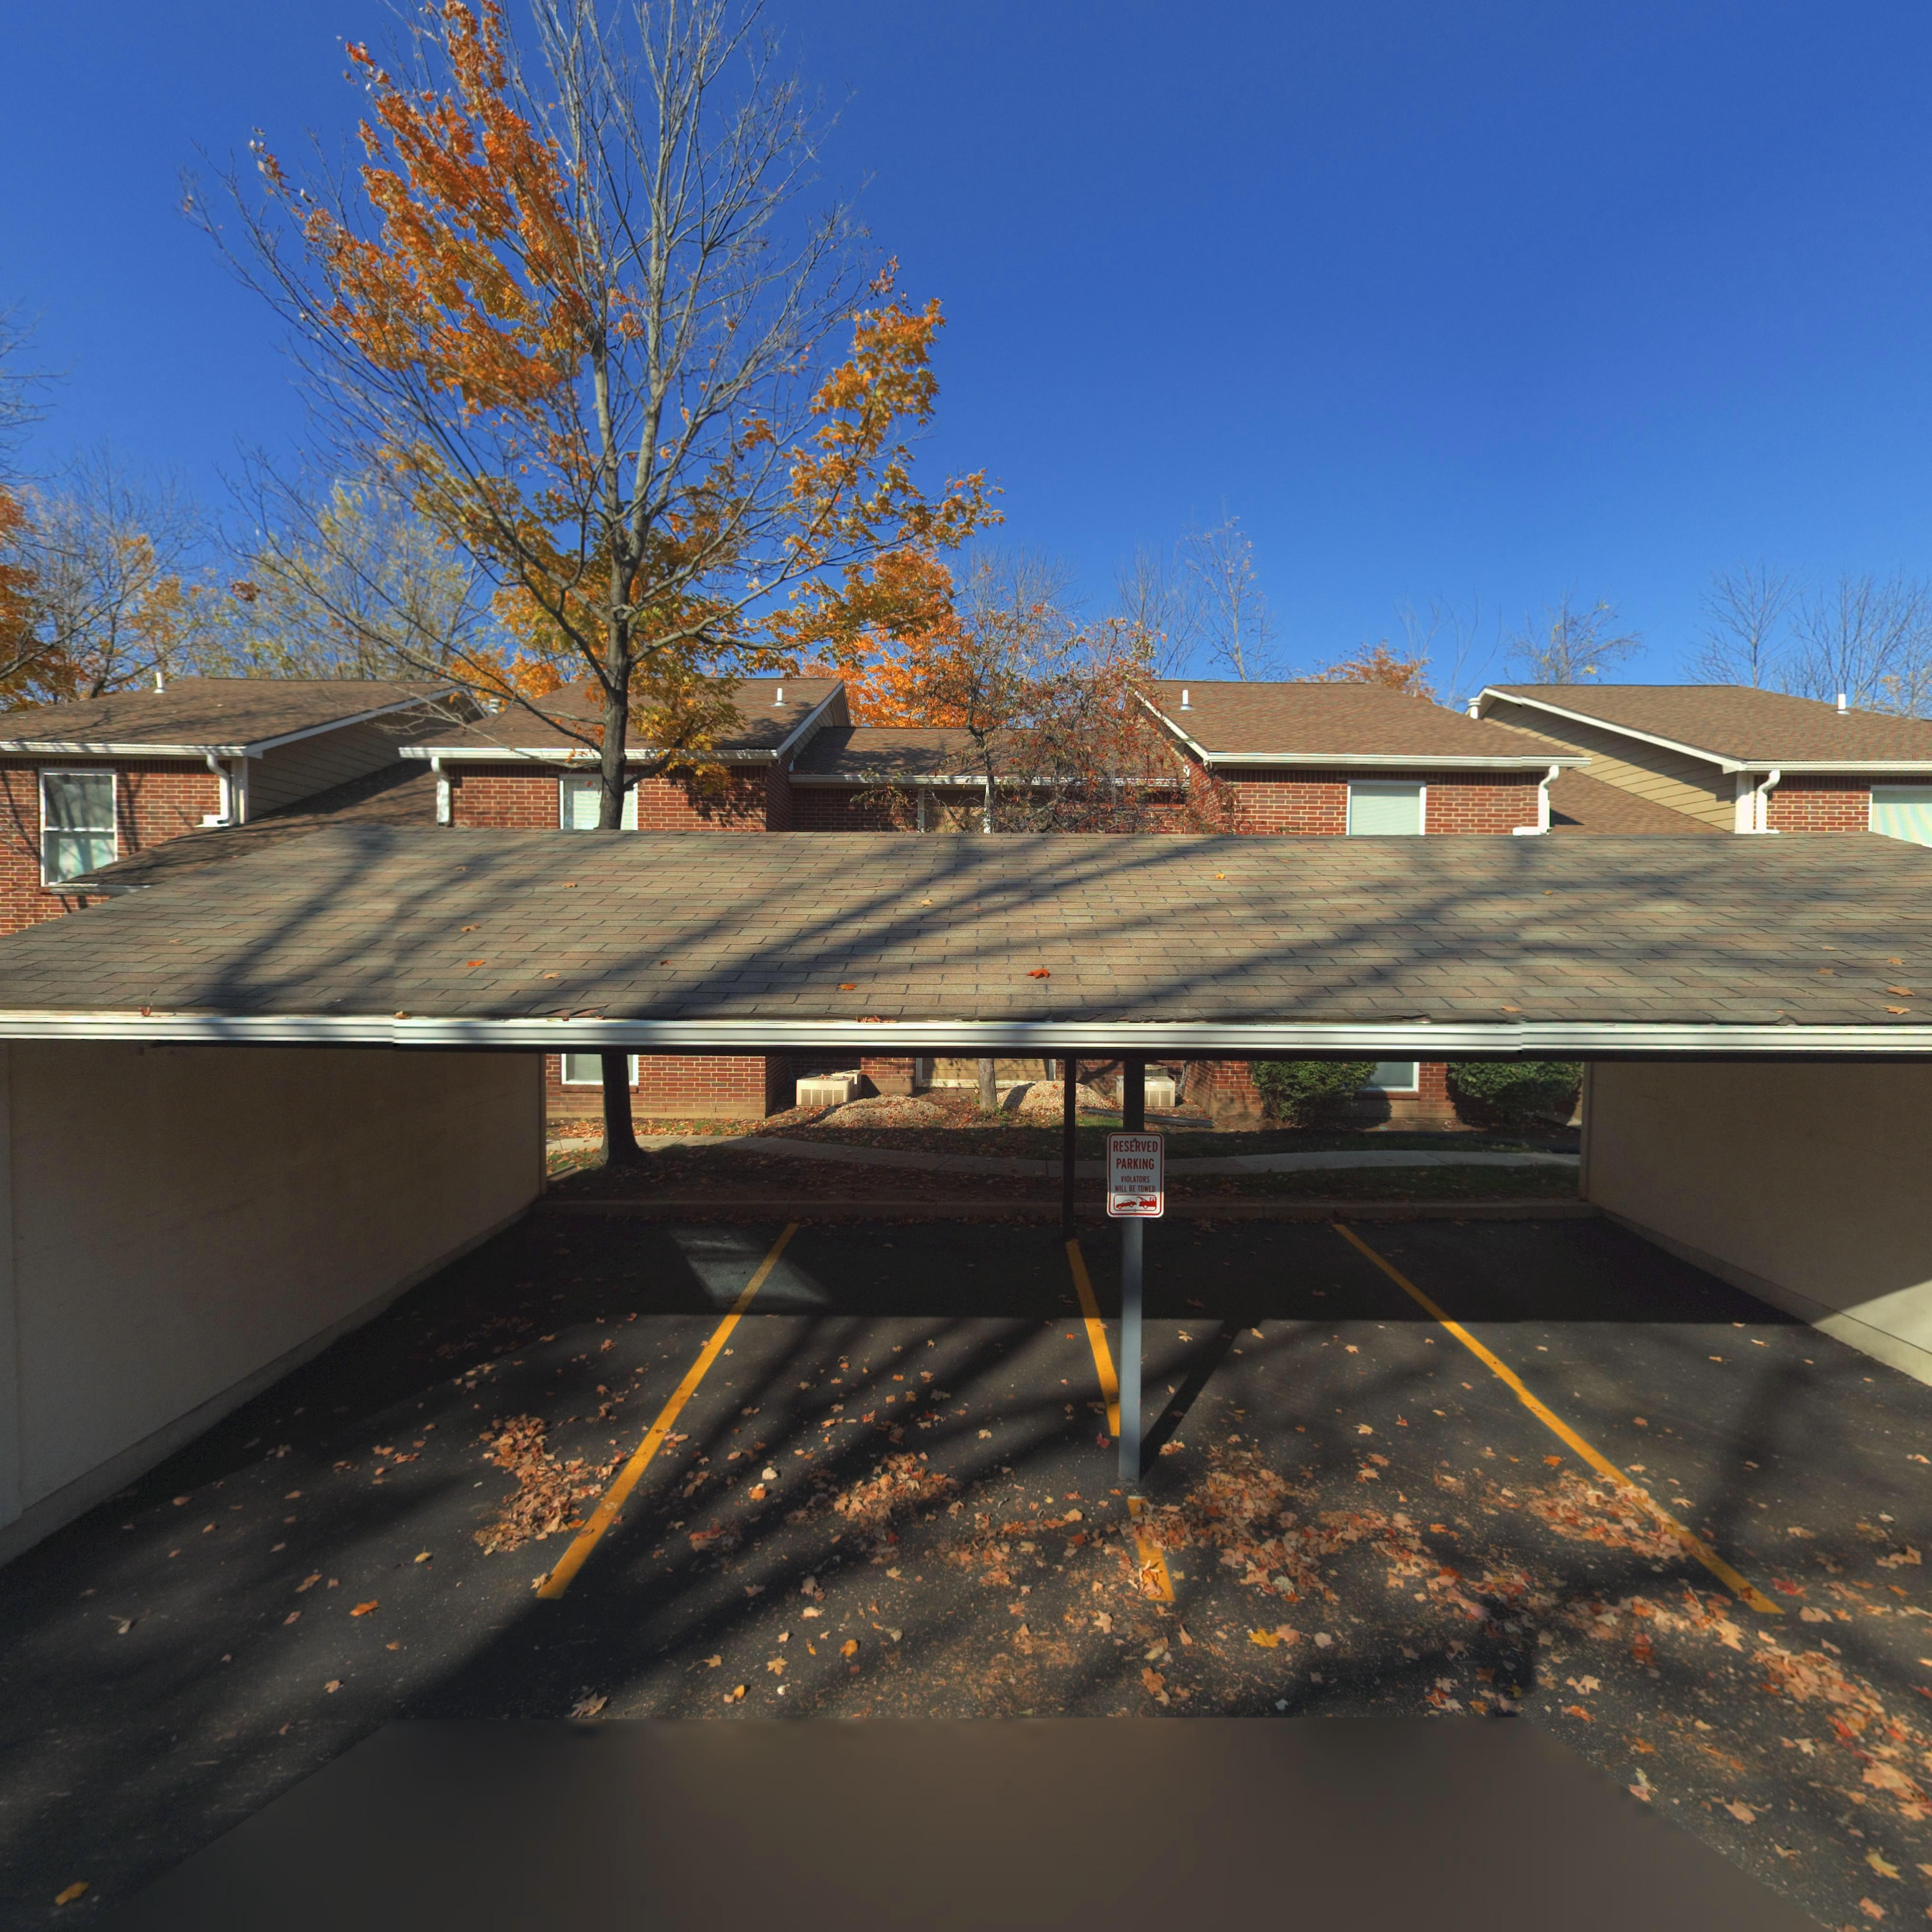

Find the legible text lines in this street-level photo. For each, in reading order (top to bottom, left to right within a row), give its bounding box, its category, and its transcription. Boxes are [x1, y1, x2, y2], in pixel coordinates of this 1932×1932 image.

[1112, 1140, 1159, 1153] None: RESERVED
[1115, 1157, 1155, 1171] None: PARKING
[1120, 1174, 1151, 1184] None: VIOLATORS
[1114, 1184, 1157, 1193] None: WILL BE TOWED